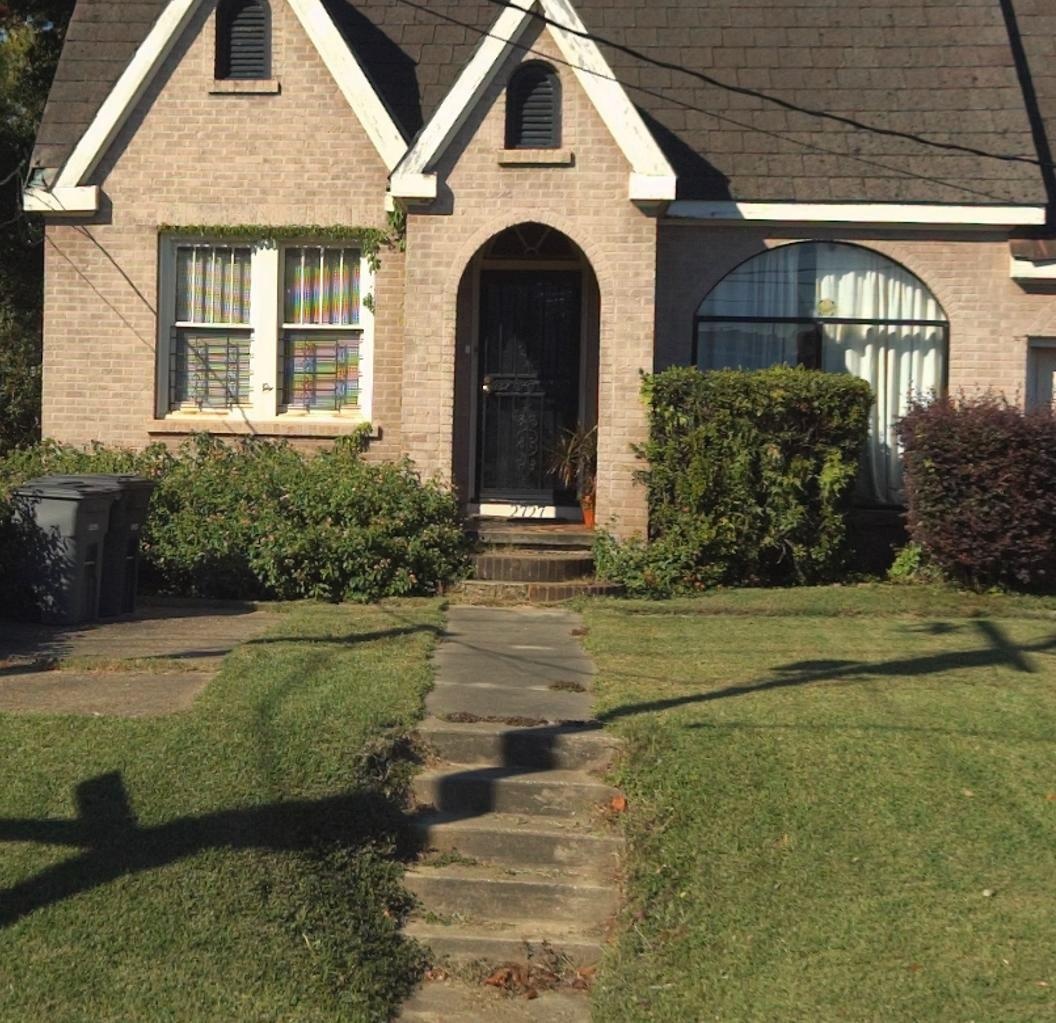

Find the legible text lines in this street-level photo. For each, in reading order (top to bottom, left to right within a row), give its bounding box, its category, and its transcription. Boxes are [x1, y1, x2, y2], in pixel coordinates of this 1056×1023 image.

[505, 502, 549, 521] StreetNumber: 2727